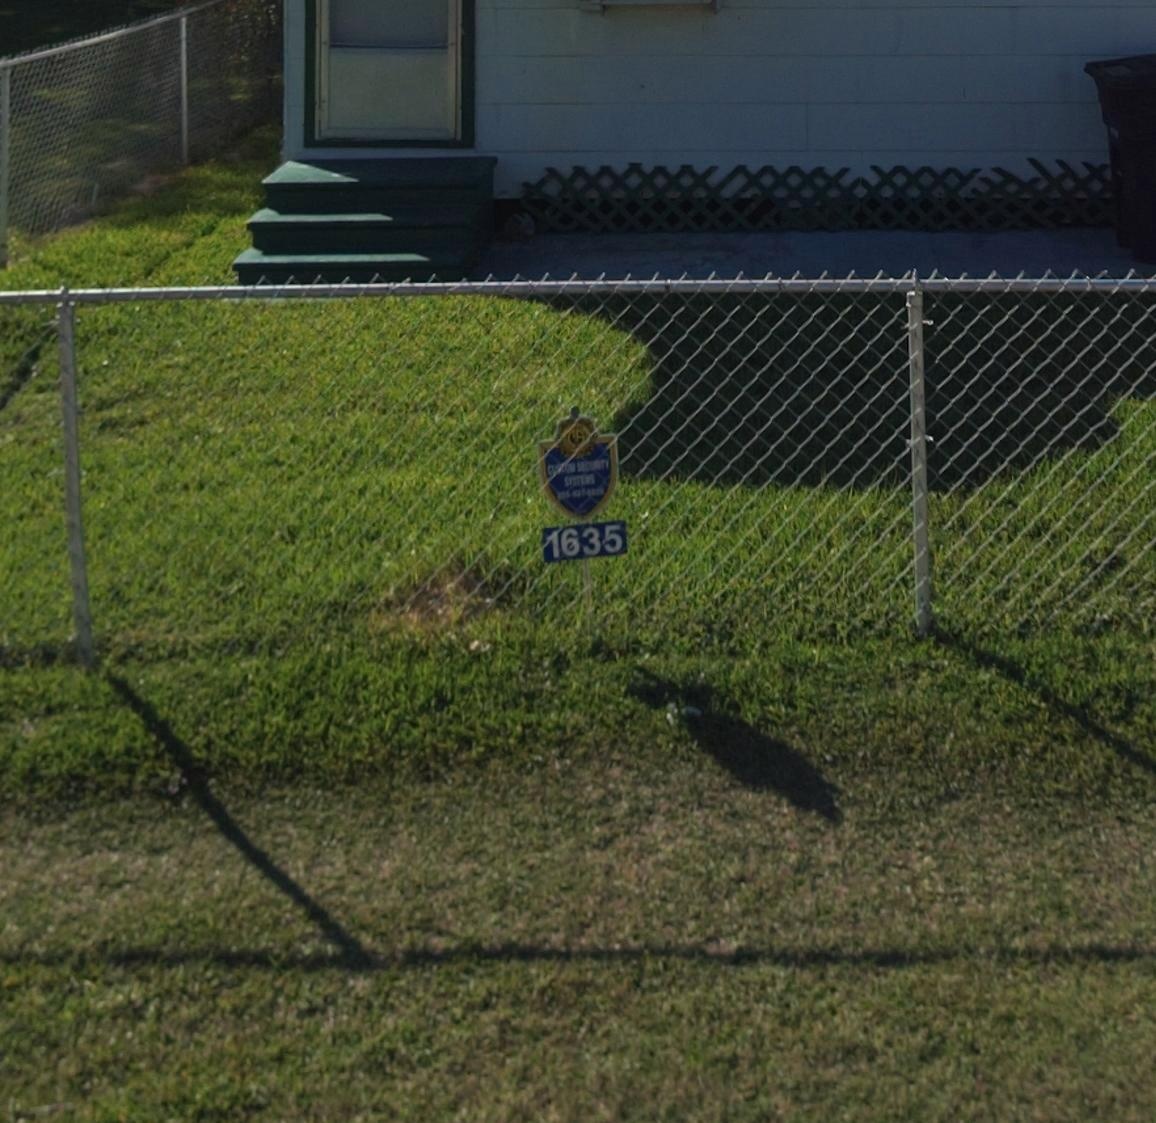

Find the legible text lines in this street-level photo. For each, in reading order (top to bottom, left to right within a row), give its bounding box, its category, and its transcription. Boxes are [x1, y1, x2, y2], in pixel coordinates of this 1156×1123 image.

[544, 521, 626, 561] StreetNumber: 1635